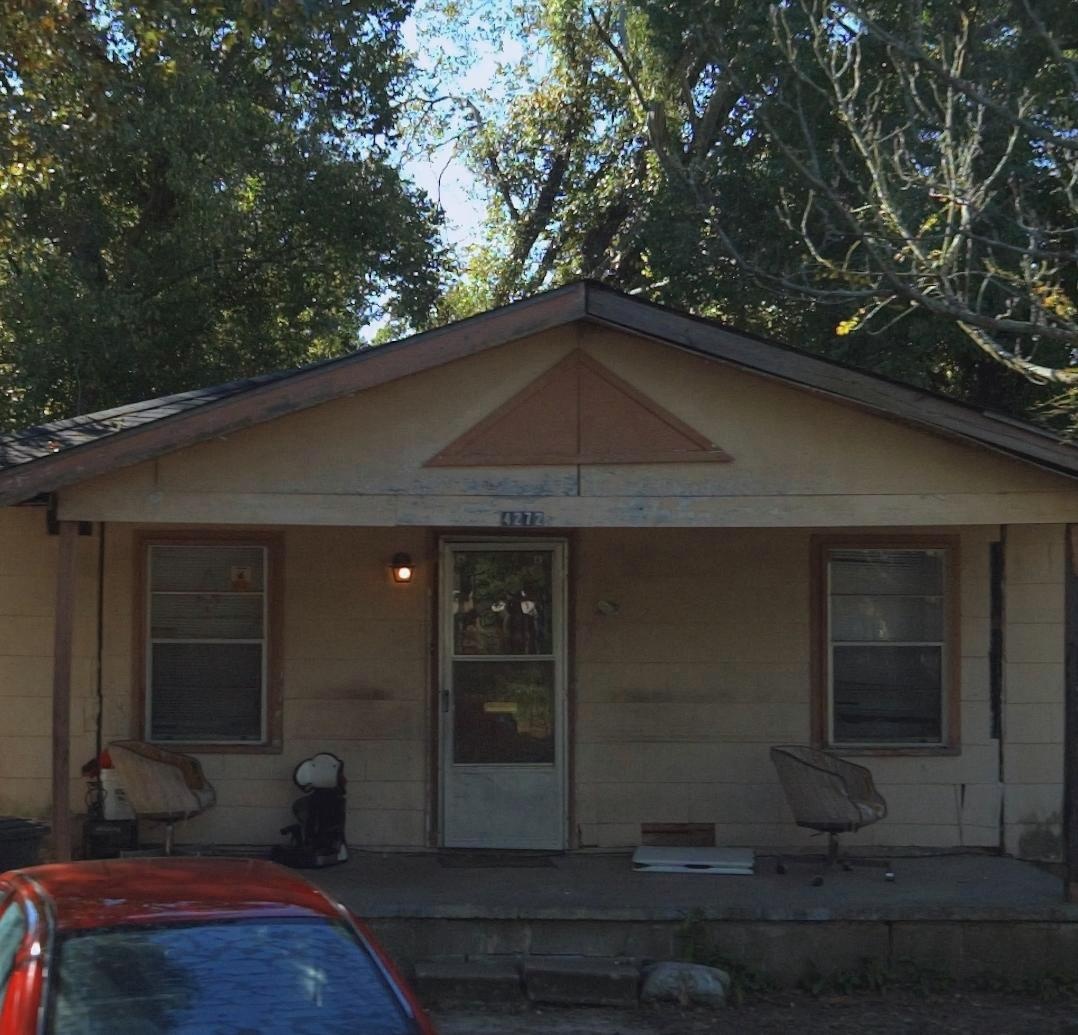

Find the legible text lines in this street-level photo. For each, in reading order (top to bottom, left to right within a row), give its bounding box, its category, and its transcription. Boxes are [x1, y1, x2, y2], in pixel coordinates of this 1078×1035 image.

[500, 511, 544, 527] StreetNumber: 4272